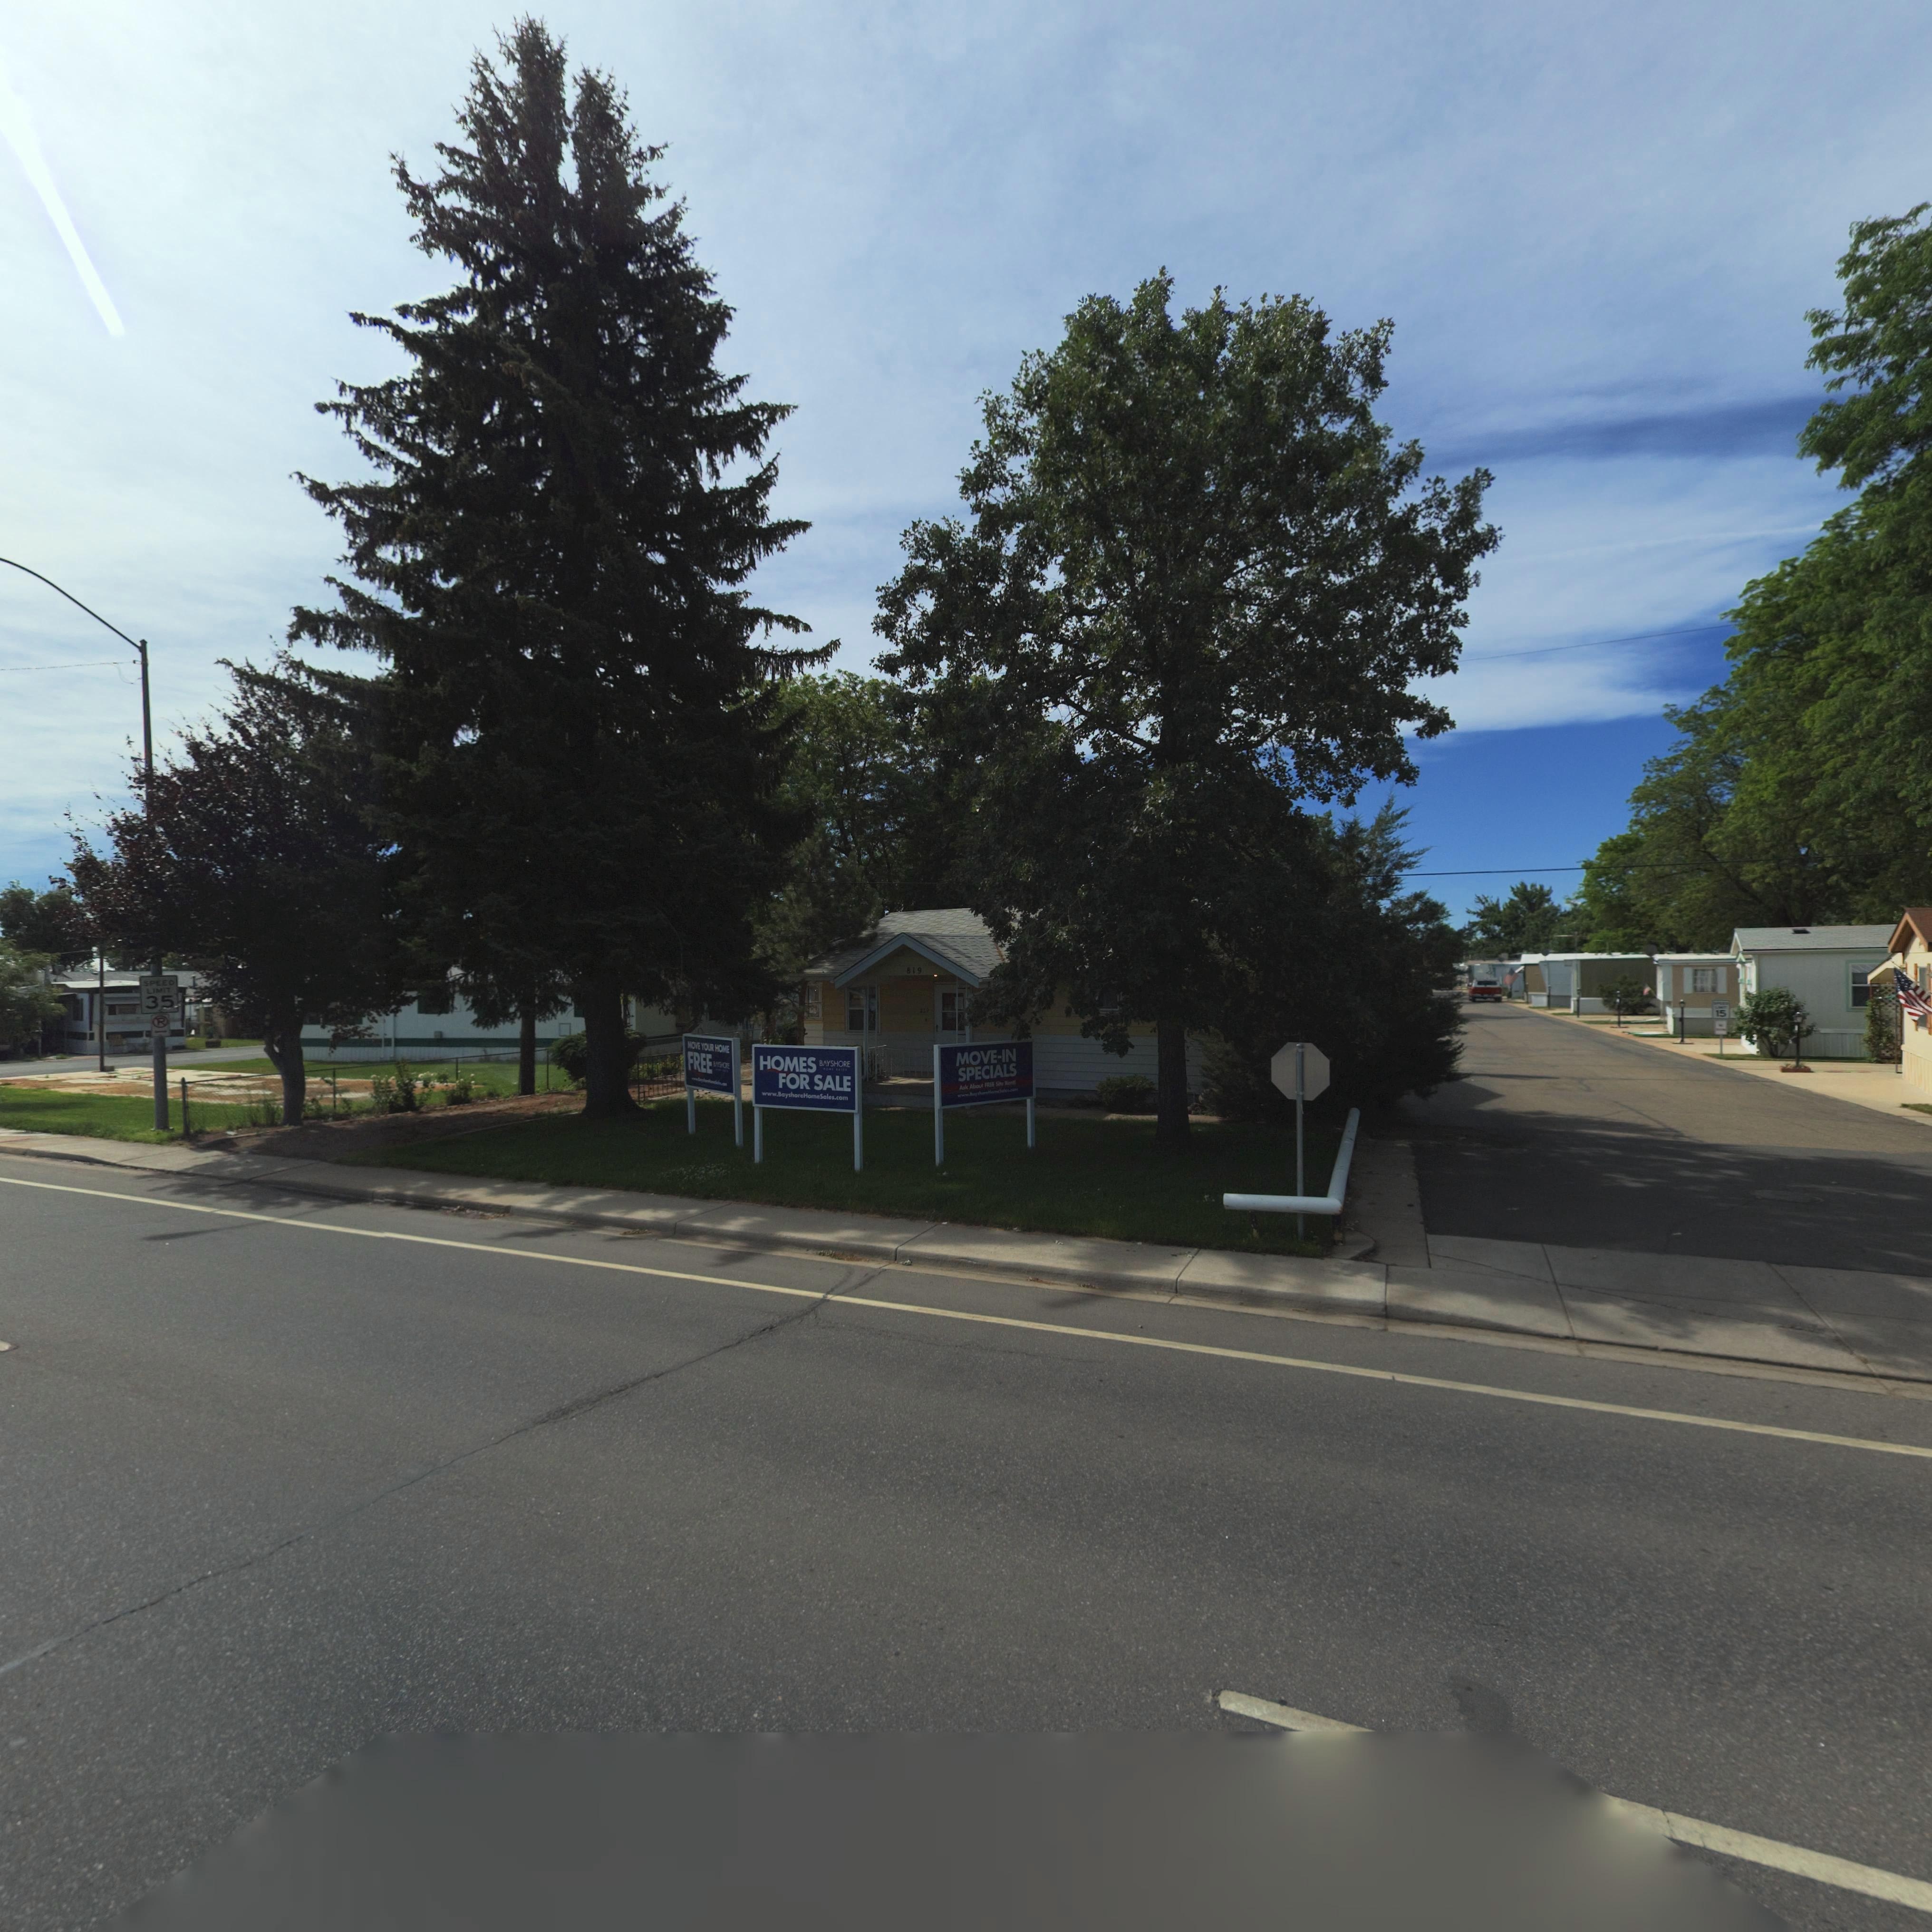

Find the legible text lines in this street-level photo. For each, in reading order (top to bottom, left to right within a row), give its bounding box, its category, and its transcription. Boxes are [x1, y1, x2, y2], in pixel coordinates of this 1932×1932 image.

[907, 966, 921, 974] StreetNumber: 819
[919, 1007, 929, 1014] StreetNumber: 819